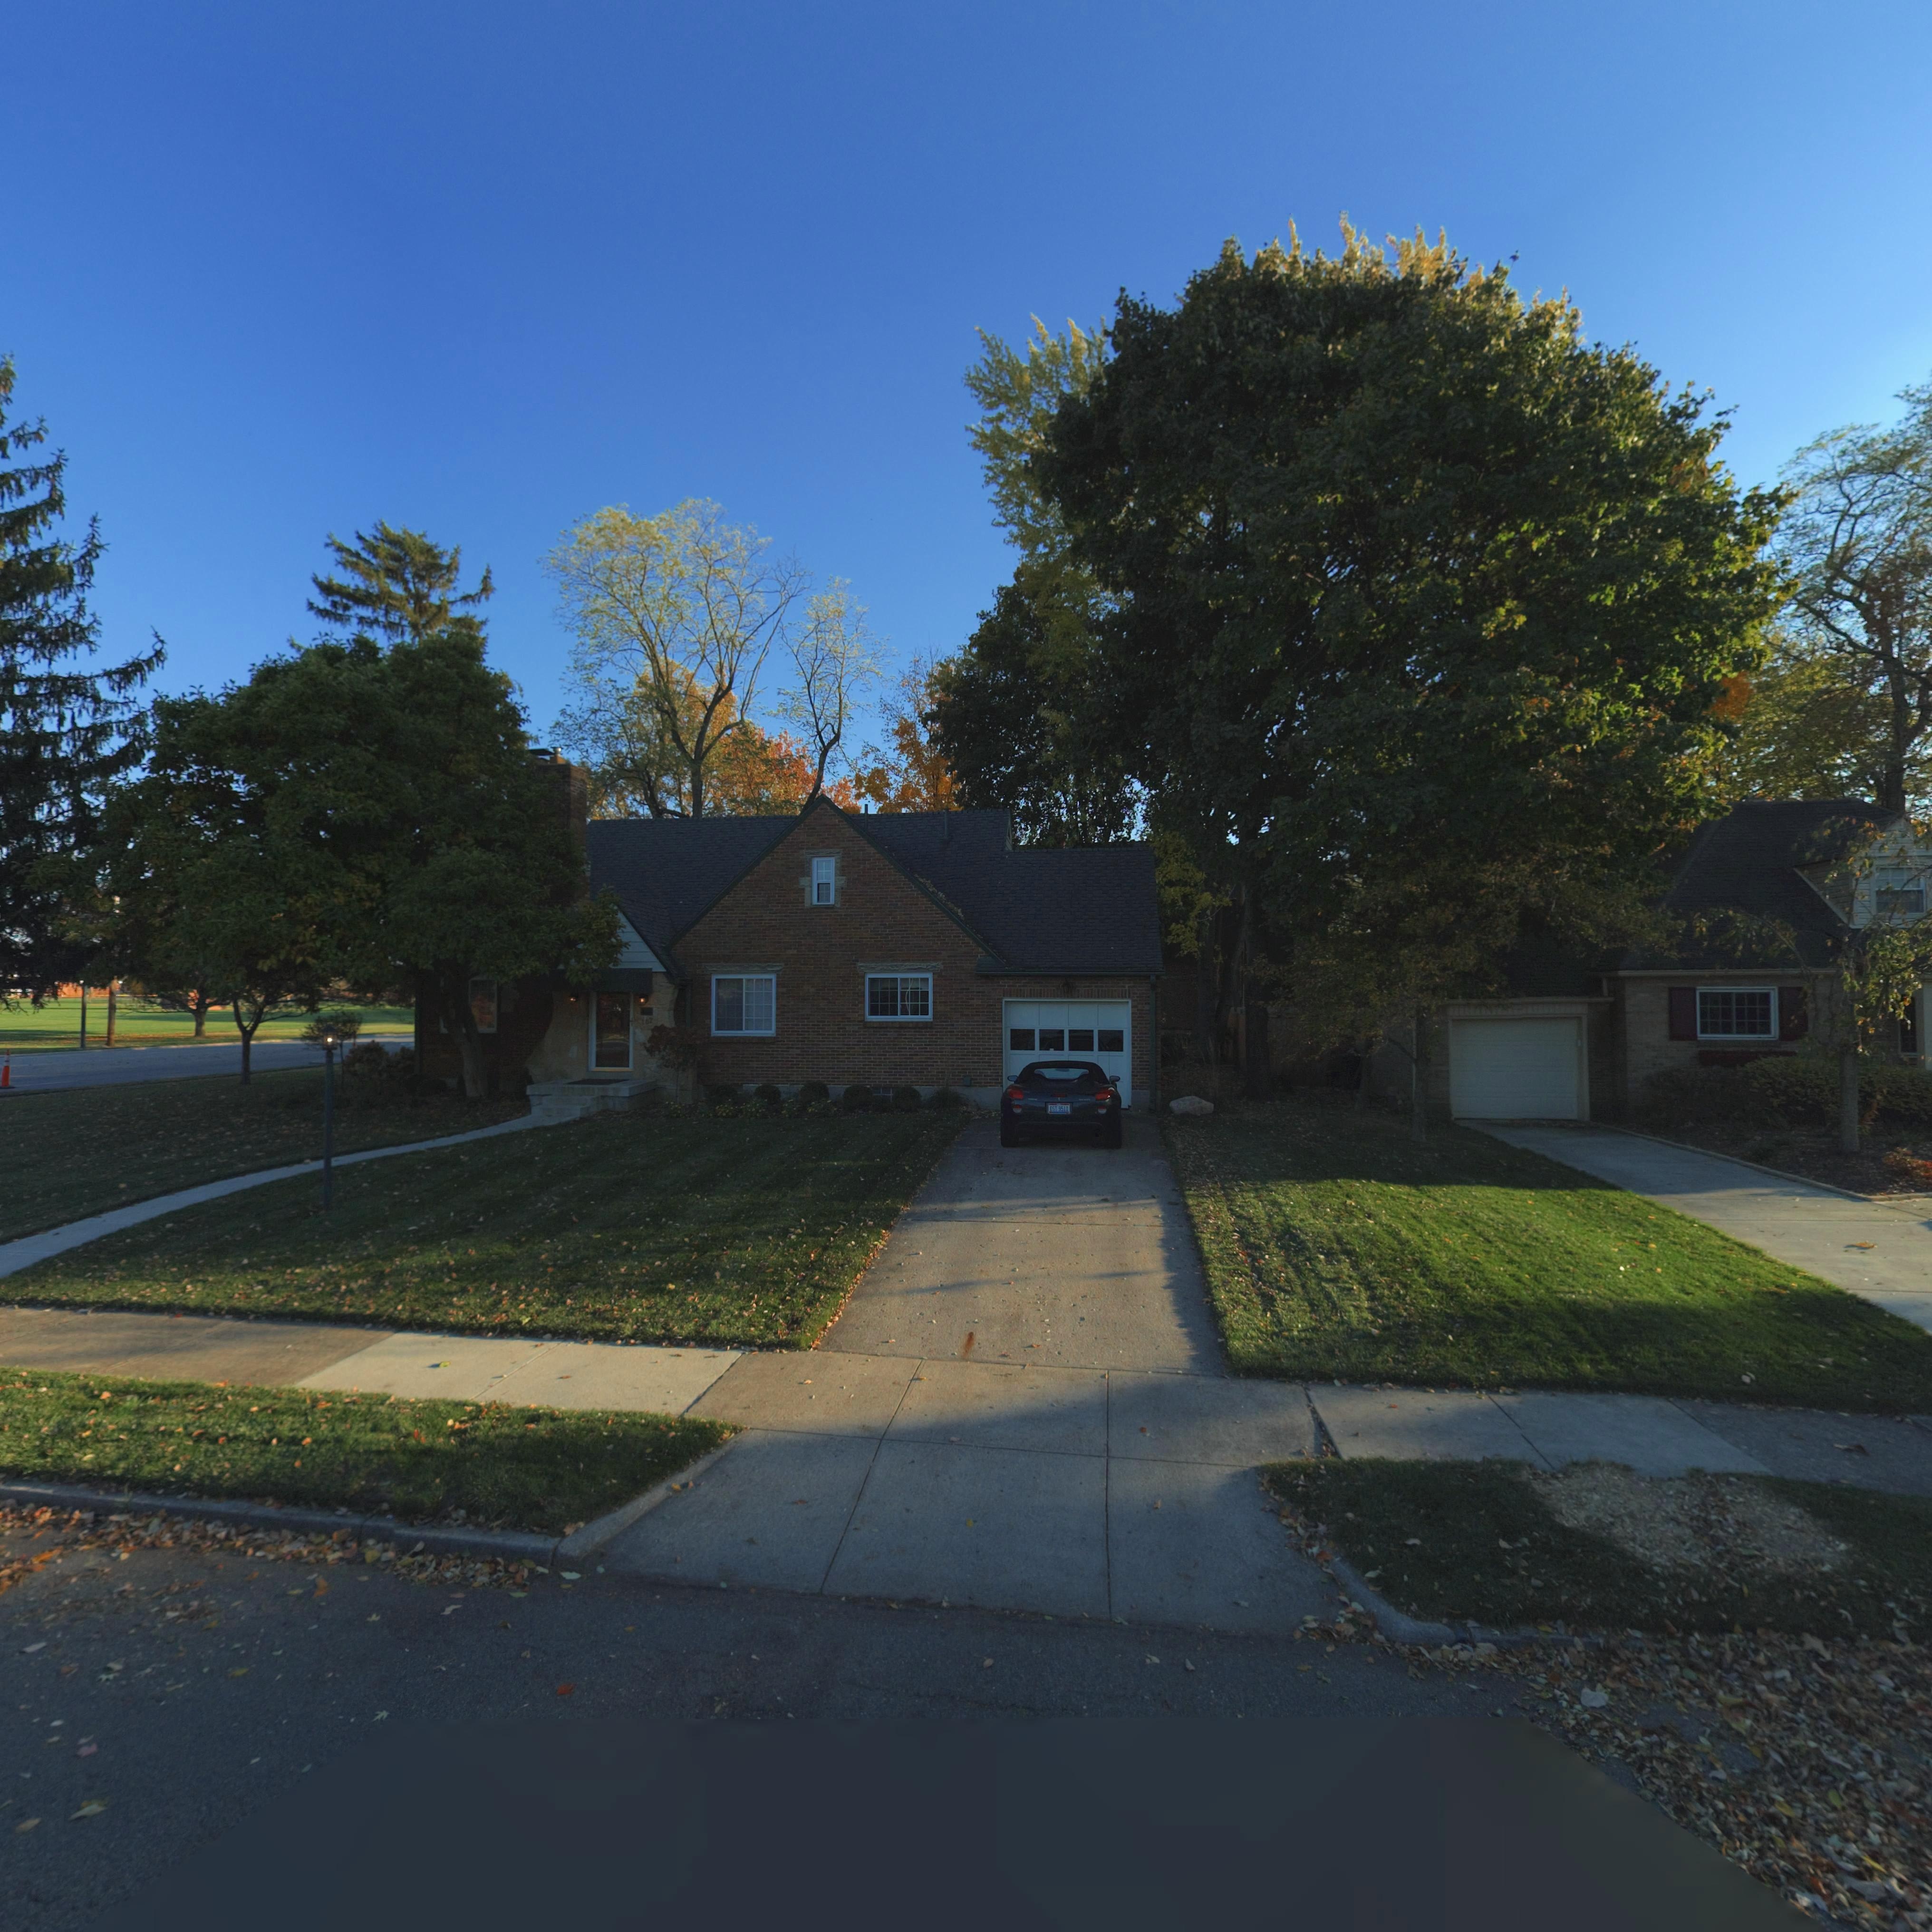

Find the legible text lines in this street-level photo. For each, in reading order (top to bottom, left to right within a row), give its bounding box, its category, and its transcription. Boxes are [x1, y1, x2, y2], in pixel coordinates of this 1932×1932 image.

[641, 1016, 654, 1027] StreetNumber: 102